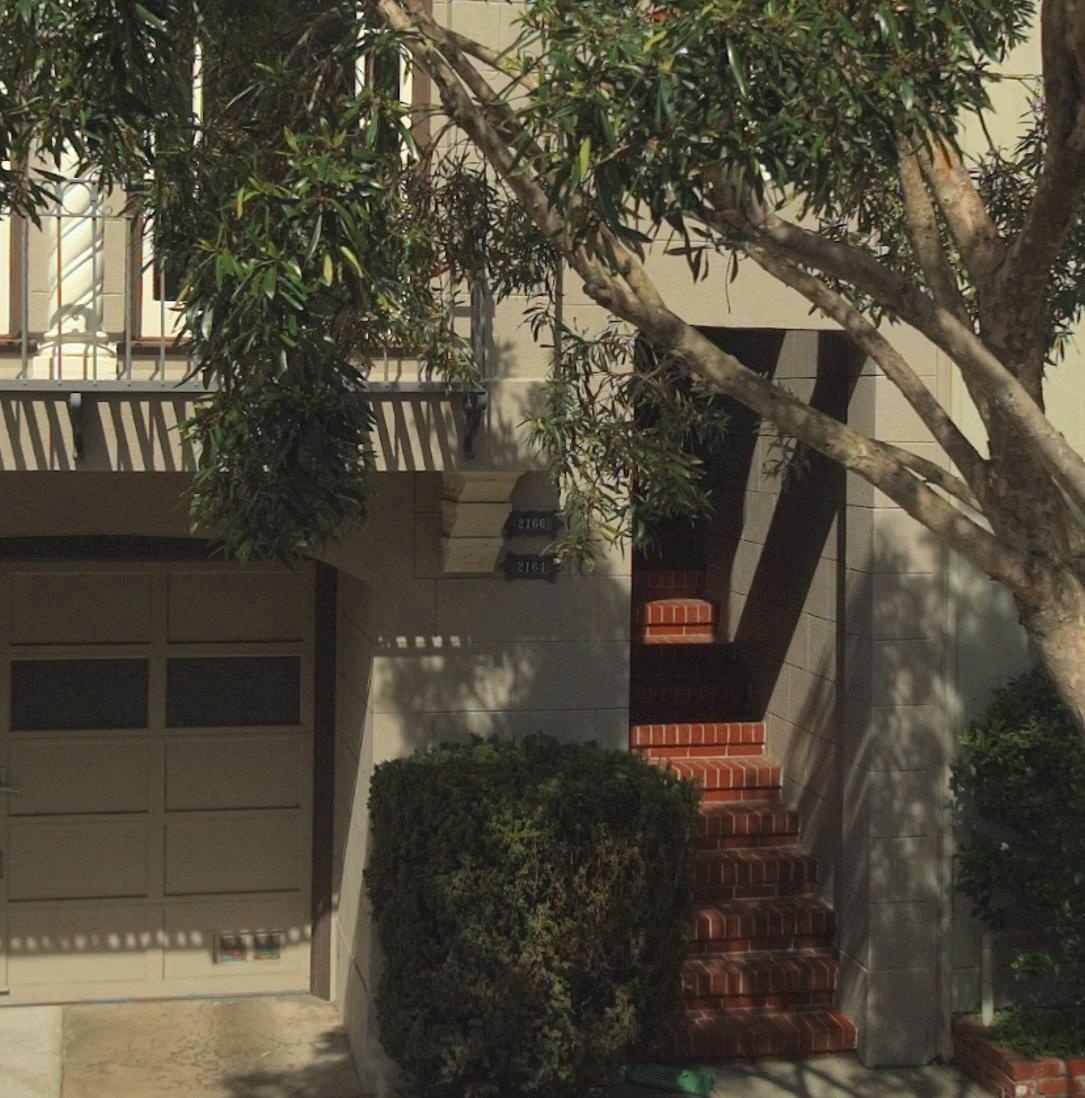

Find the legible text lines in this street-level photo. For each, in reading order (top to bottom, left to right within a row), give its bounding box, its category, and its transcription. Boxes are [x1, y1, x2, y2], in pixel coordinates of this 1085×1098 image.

[516, 516, 547, 531] StreetNumber: 2166
[515, 559, 547, 575] StreetNumber: 2164